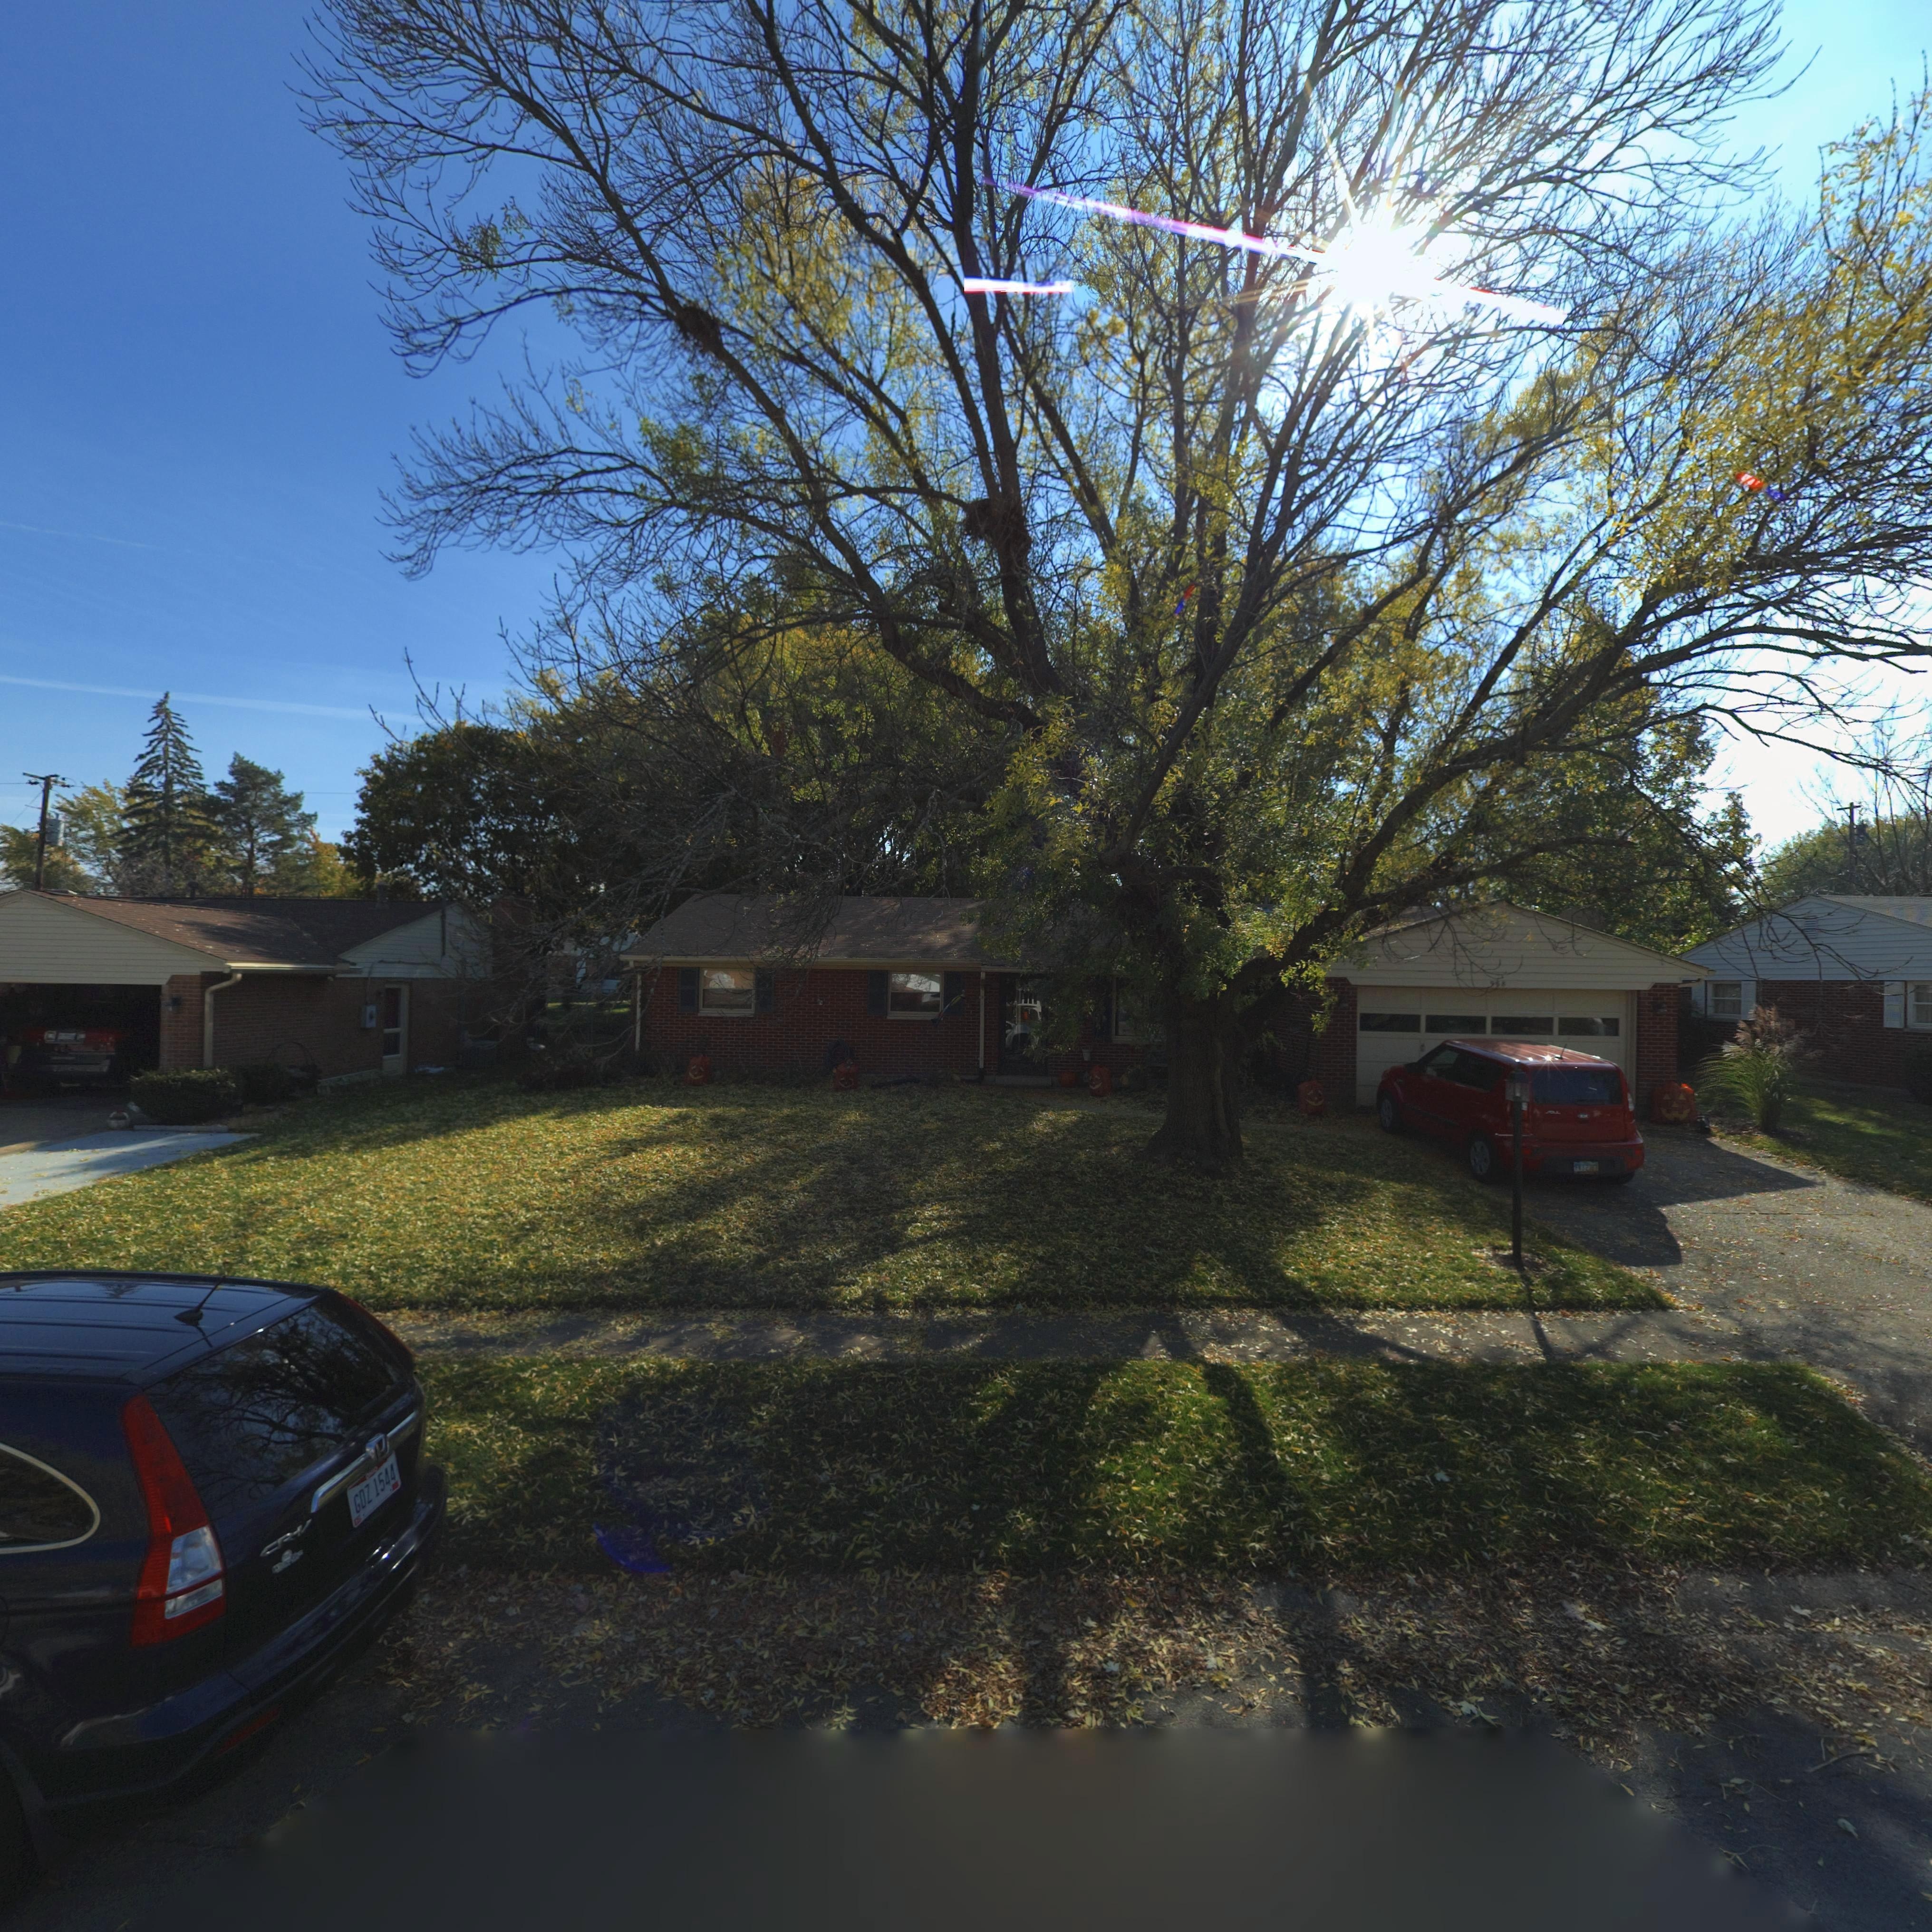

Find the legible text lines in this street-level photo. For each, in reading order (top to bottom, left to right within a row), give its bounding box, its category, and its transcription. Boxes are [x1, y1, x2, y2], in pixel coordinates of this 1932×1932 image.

[1488, 980, 1507, 988] StreetNumber: 9*8